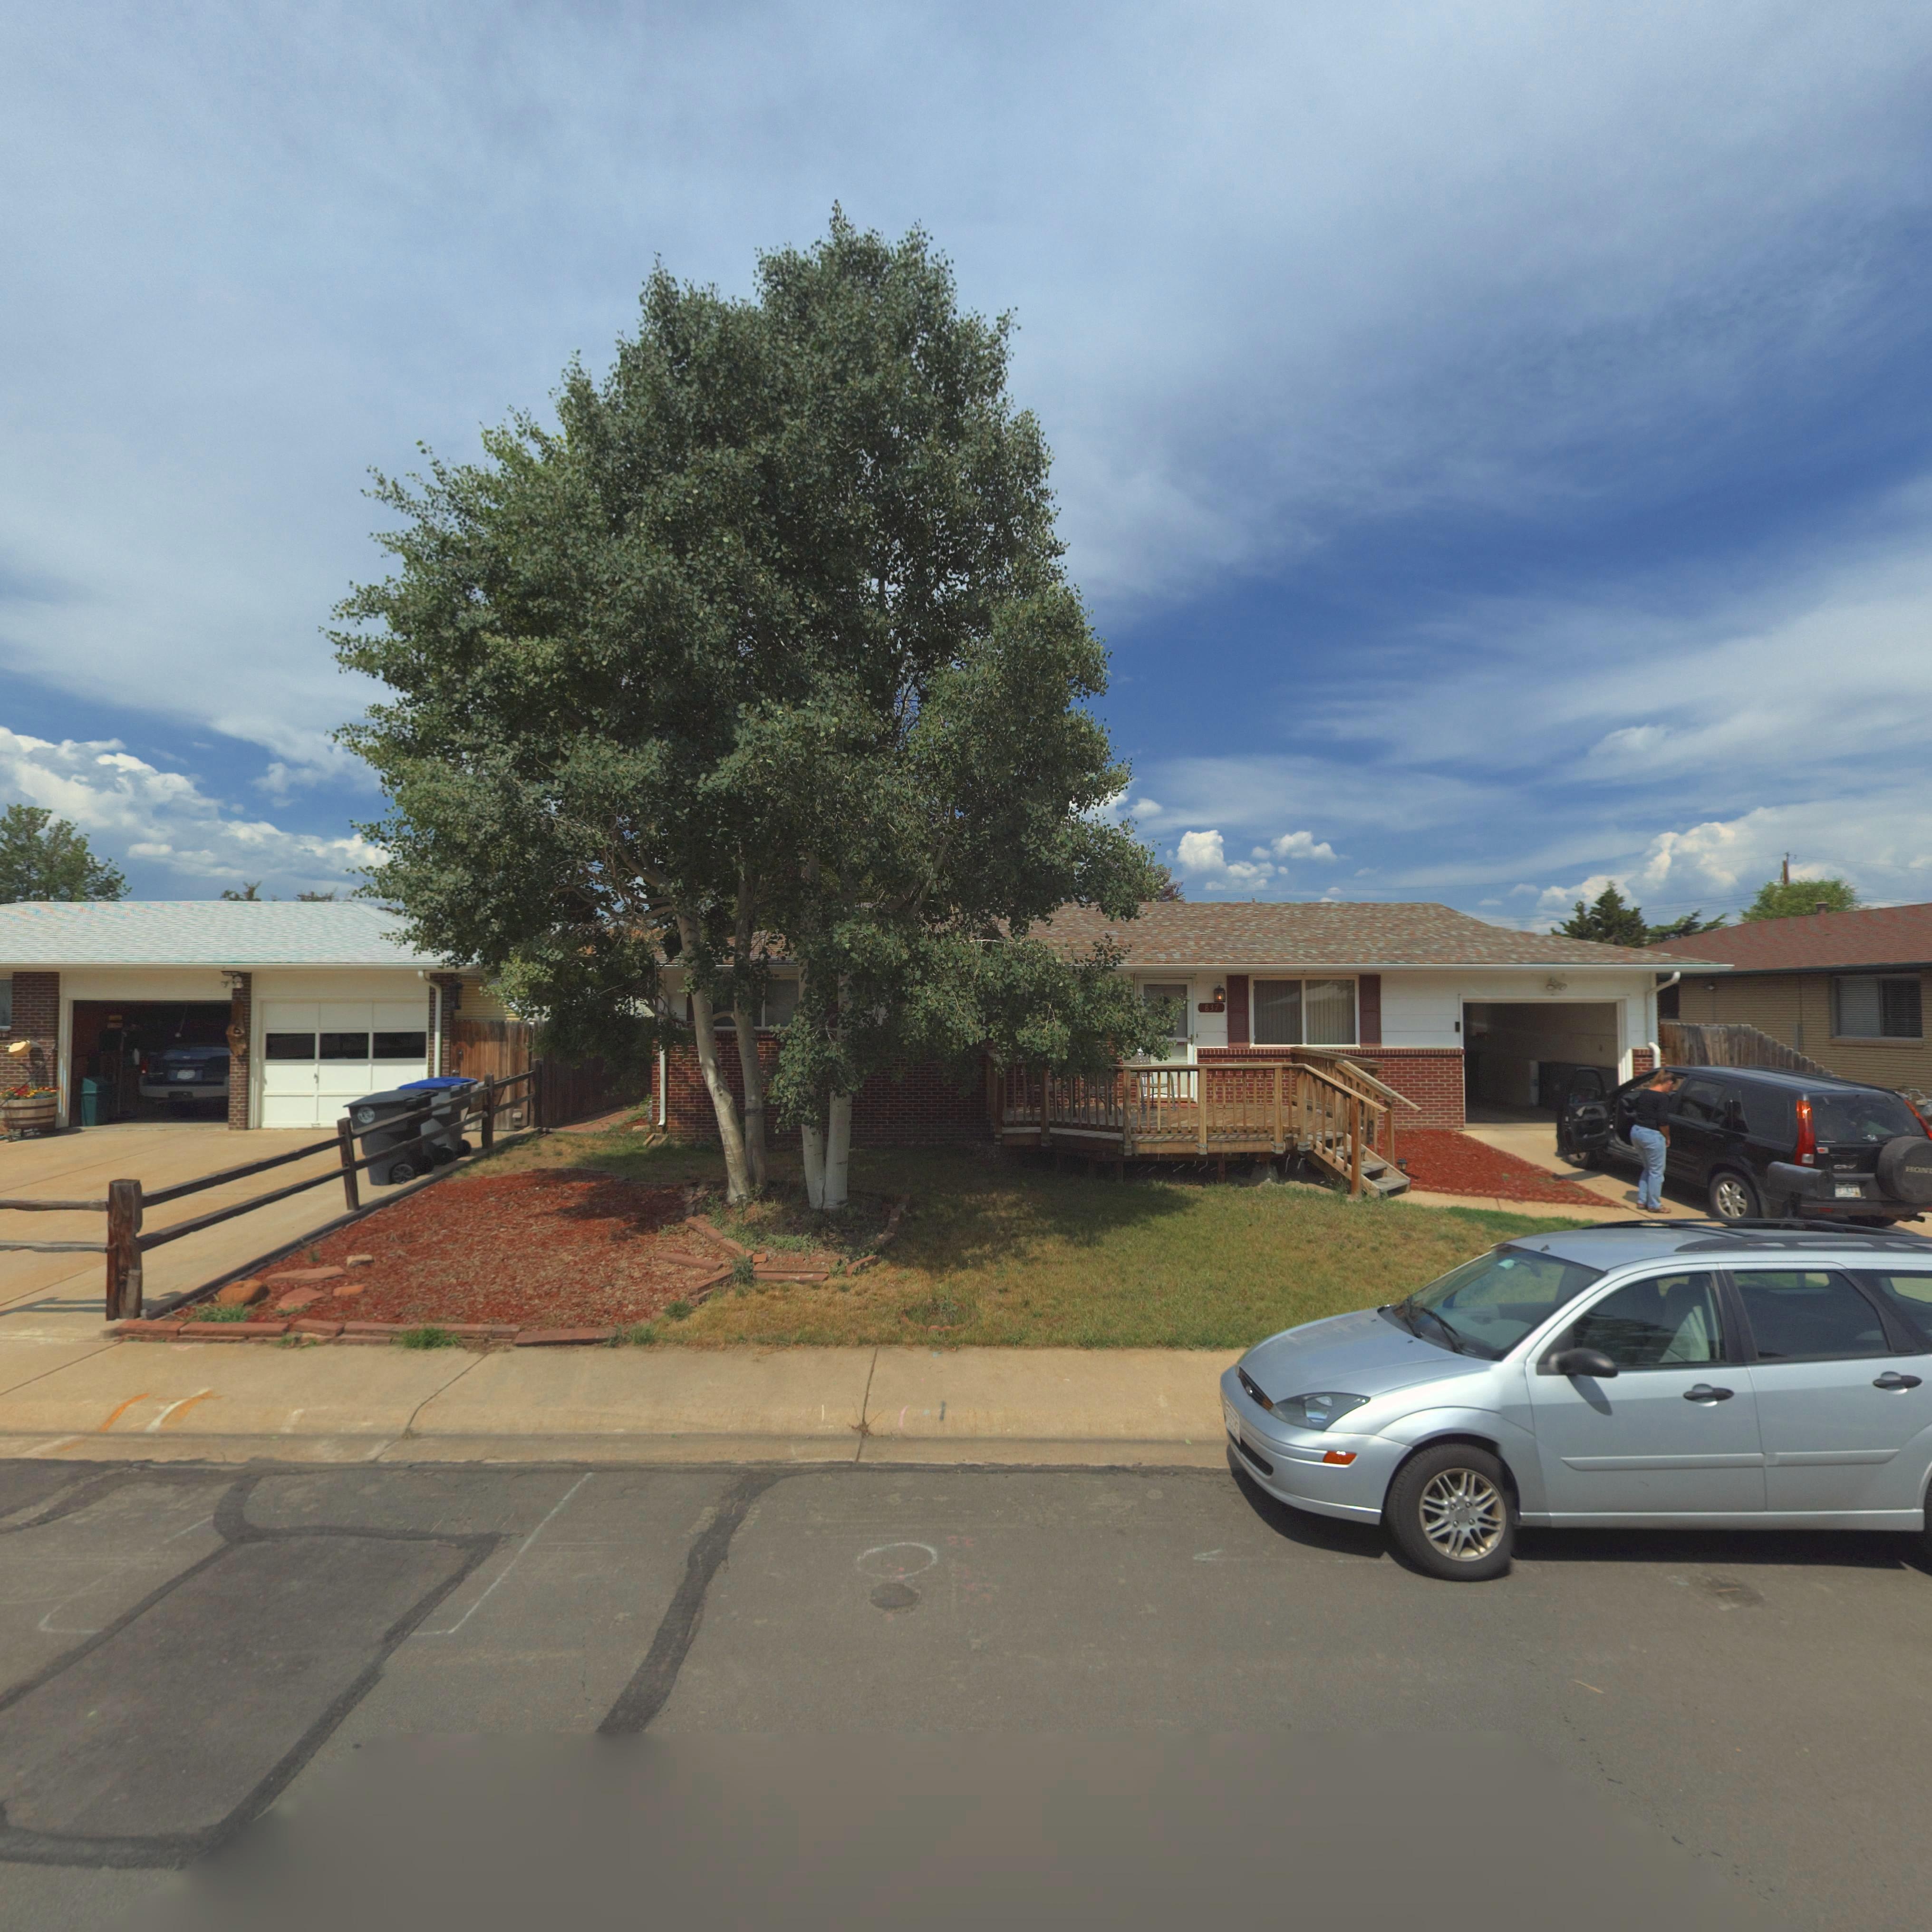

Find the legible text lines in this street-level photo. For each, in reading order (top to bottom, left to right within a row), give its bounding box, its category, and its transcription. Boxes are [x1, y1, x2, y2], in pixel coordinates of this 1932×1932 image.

[1204, 1003, 1219, 1011] StreetNumber: 837